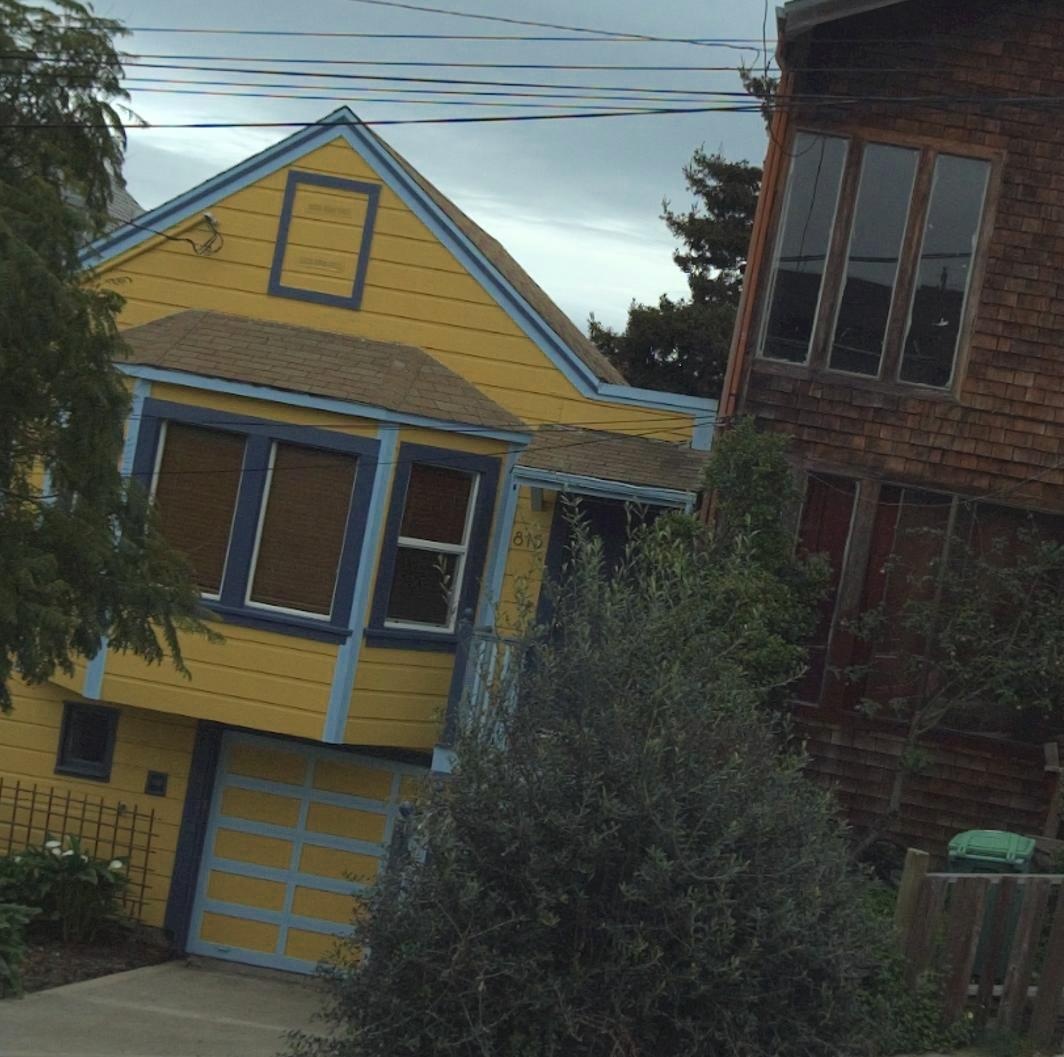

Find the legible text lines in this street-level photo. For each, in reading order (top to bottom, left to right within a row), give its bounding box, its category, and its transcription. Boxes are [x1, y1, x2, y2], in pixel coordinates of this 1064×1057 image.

[511, 529, 545, 551] StreetNumber: 815